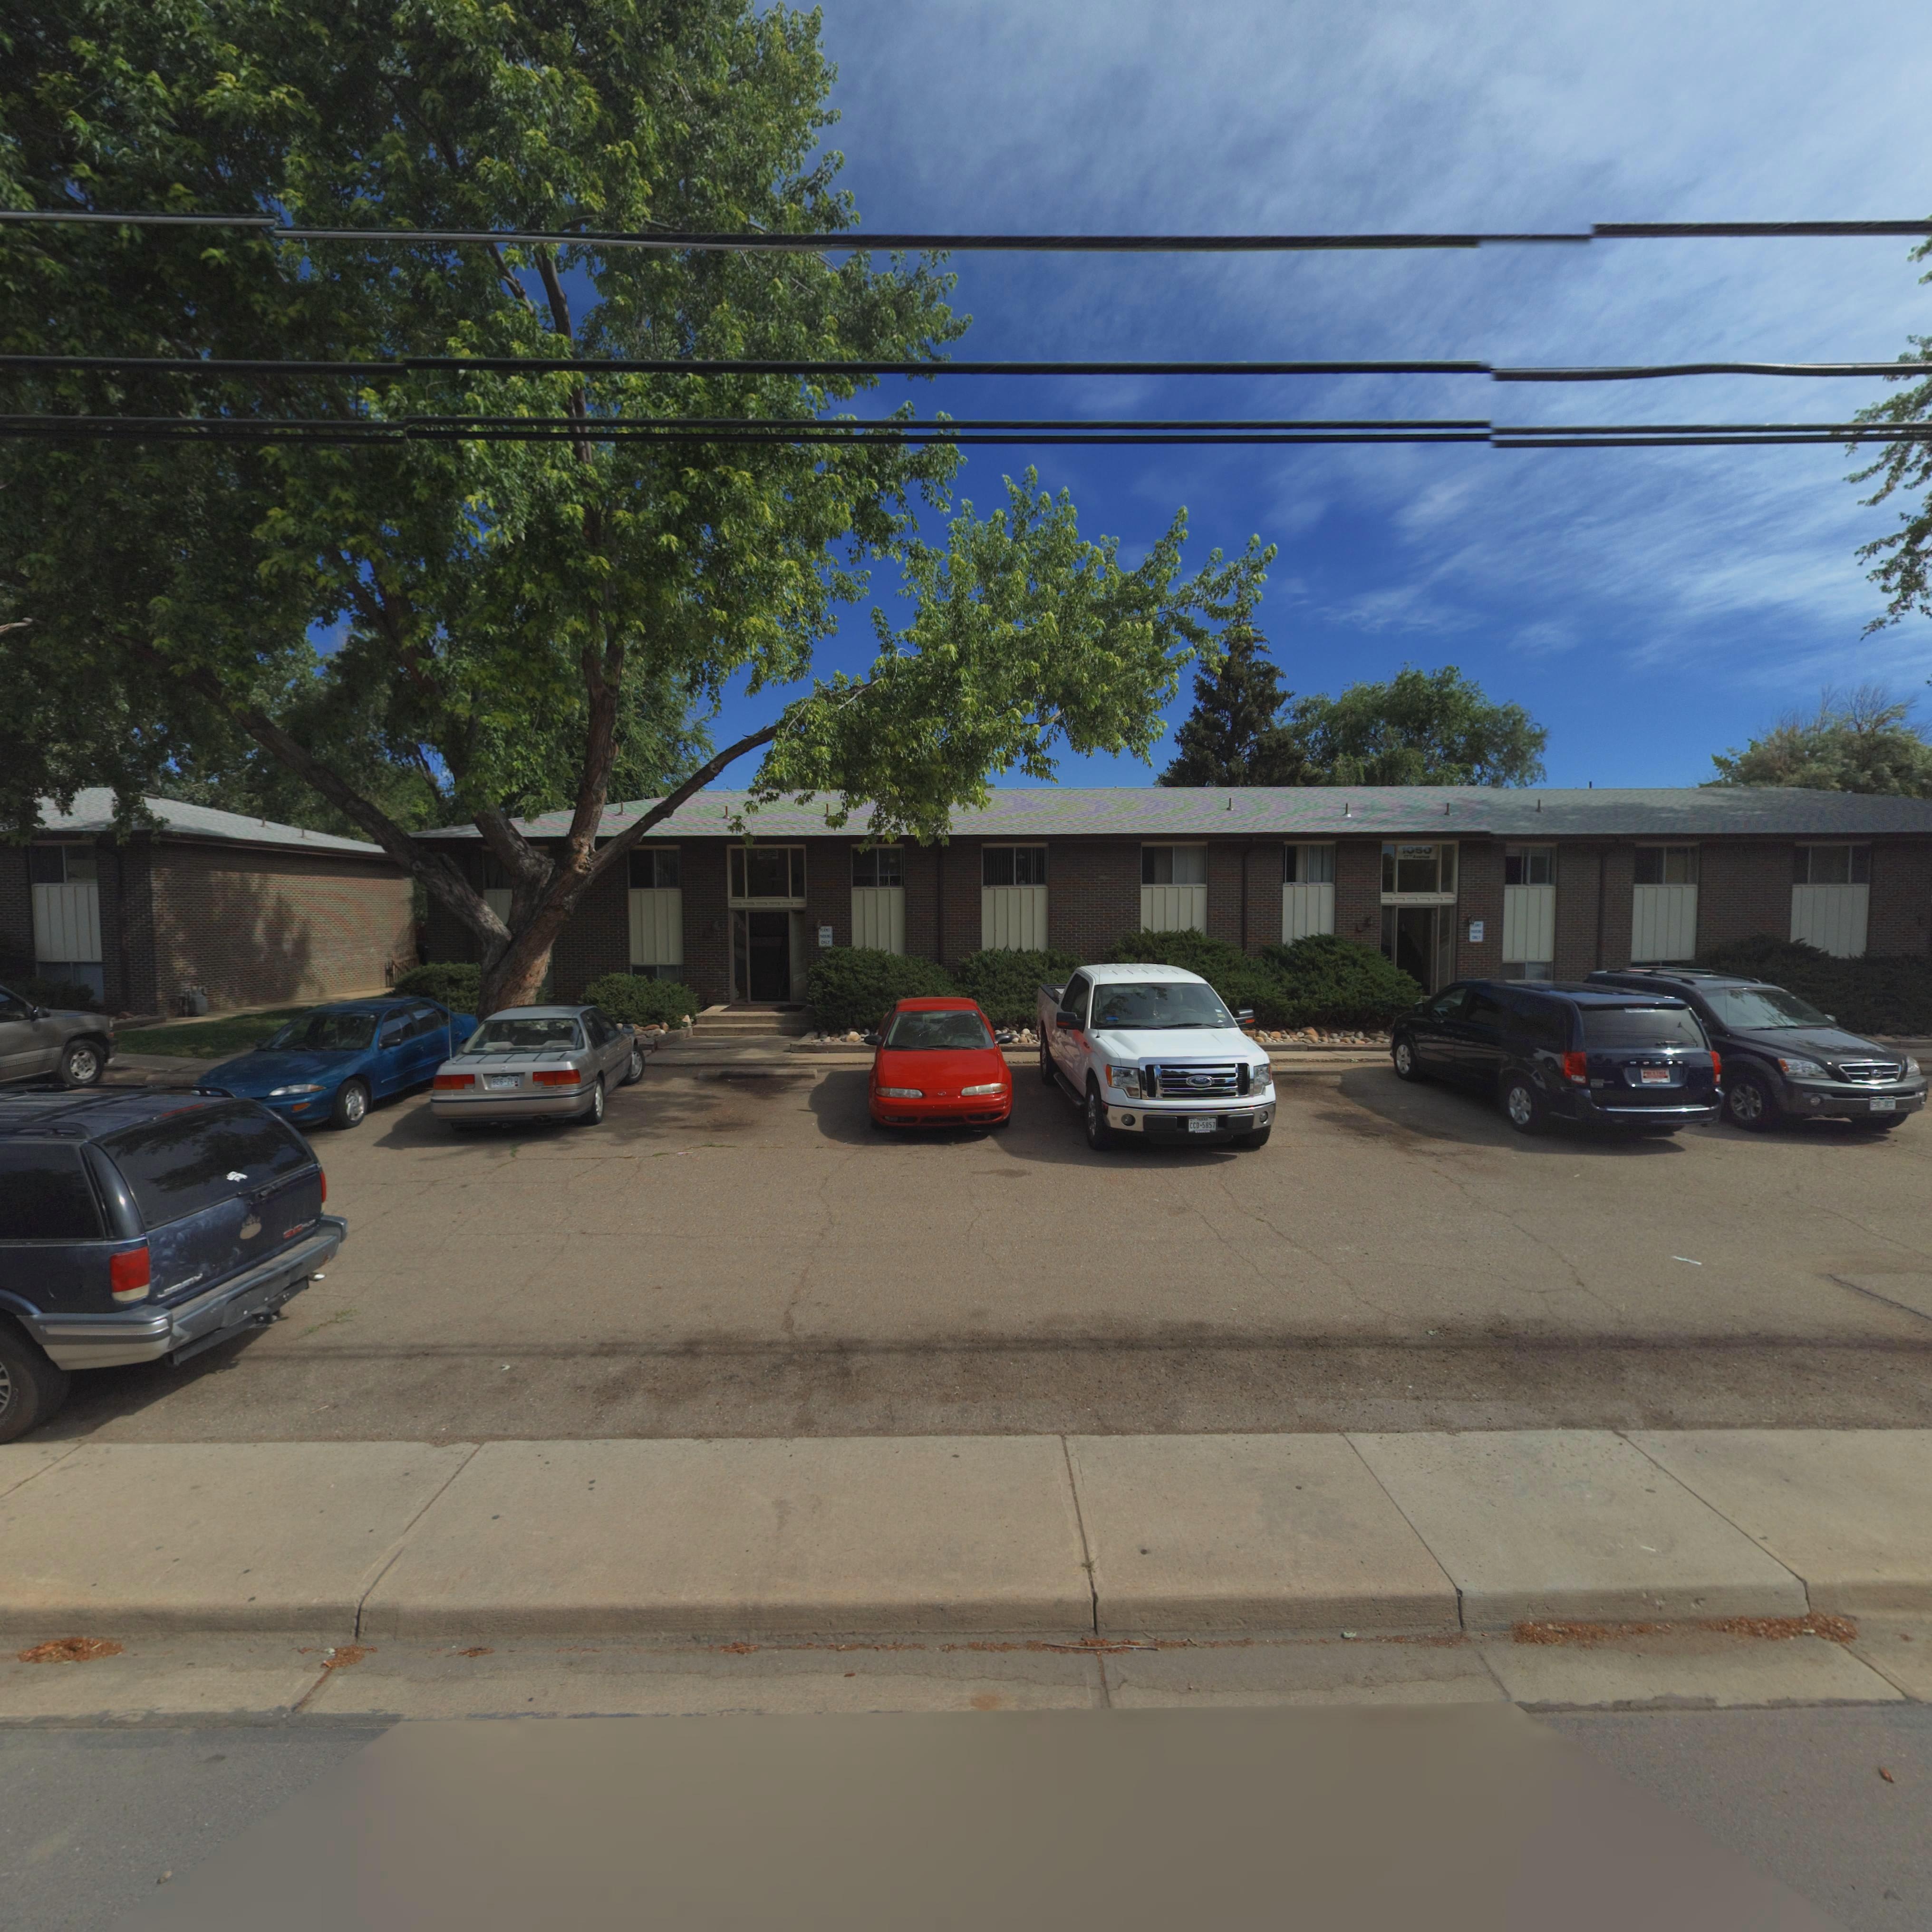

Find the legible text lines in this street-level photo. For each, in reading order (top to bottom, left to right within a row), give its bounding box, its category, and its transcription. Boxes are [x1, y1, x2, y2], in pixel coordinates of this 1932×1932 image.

[1401, 846, 1432, 854] StreetNumber: 1050
[1403, 854, 1430, 859] StreetName: 17** A*****